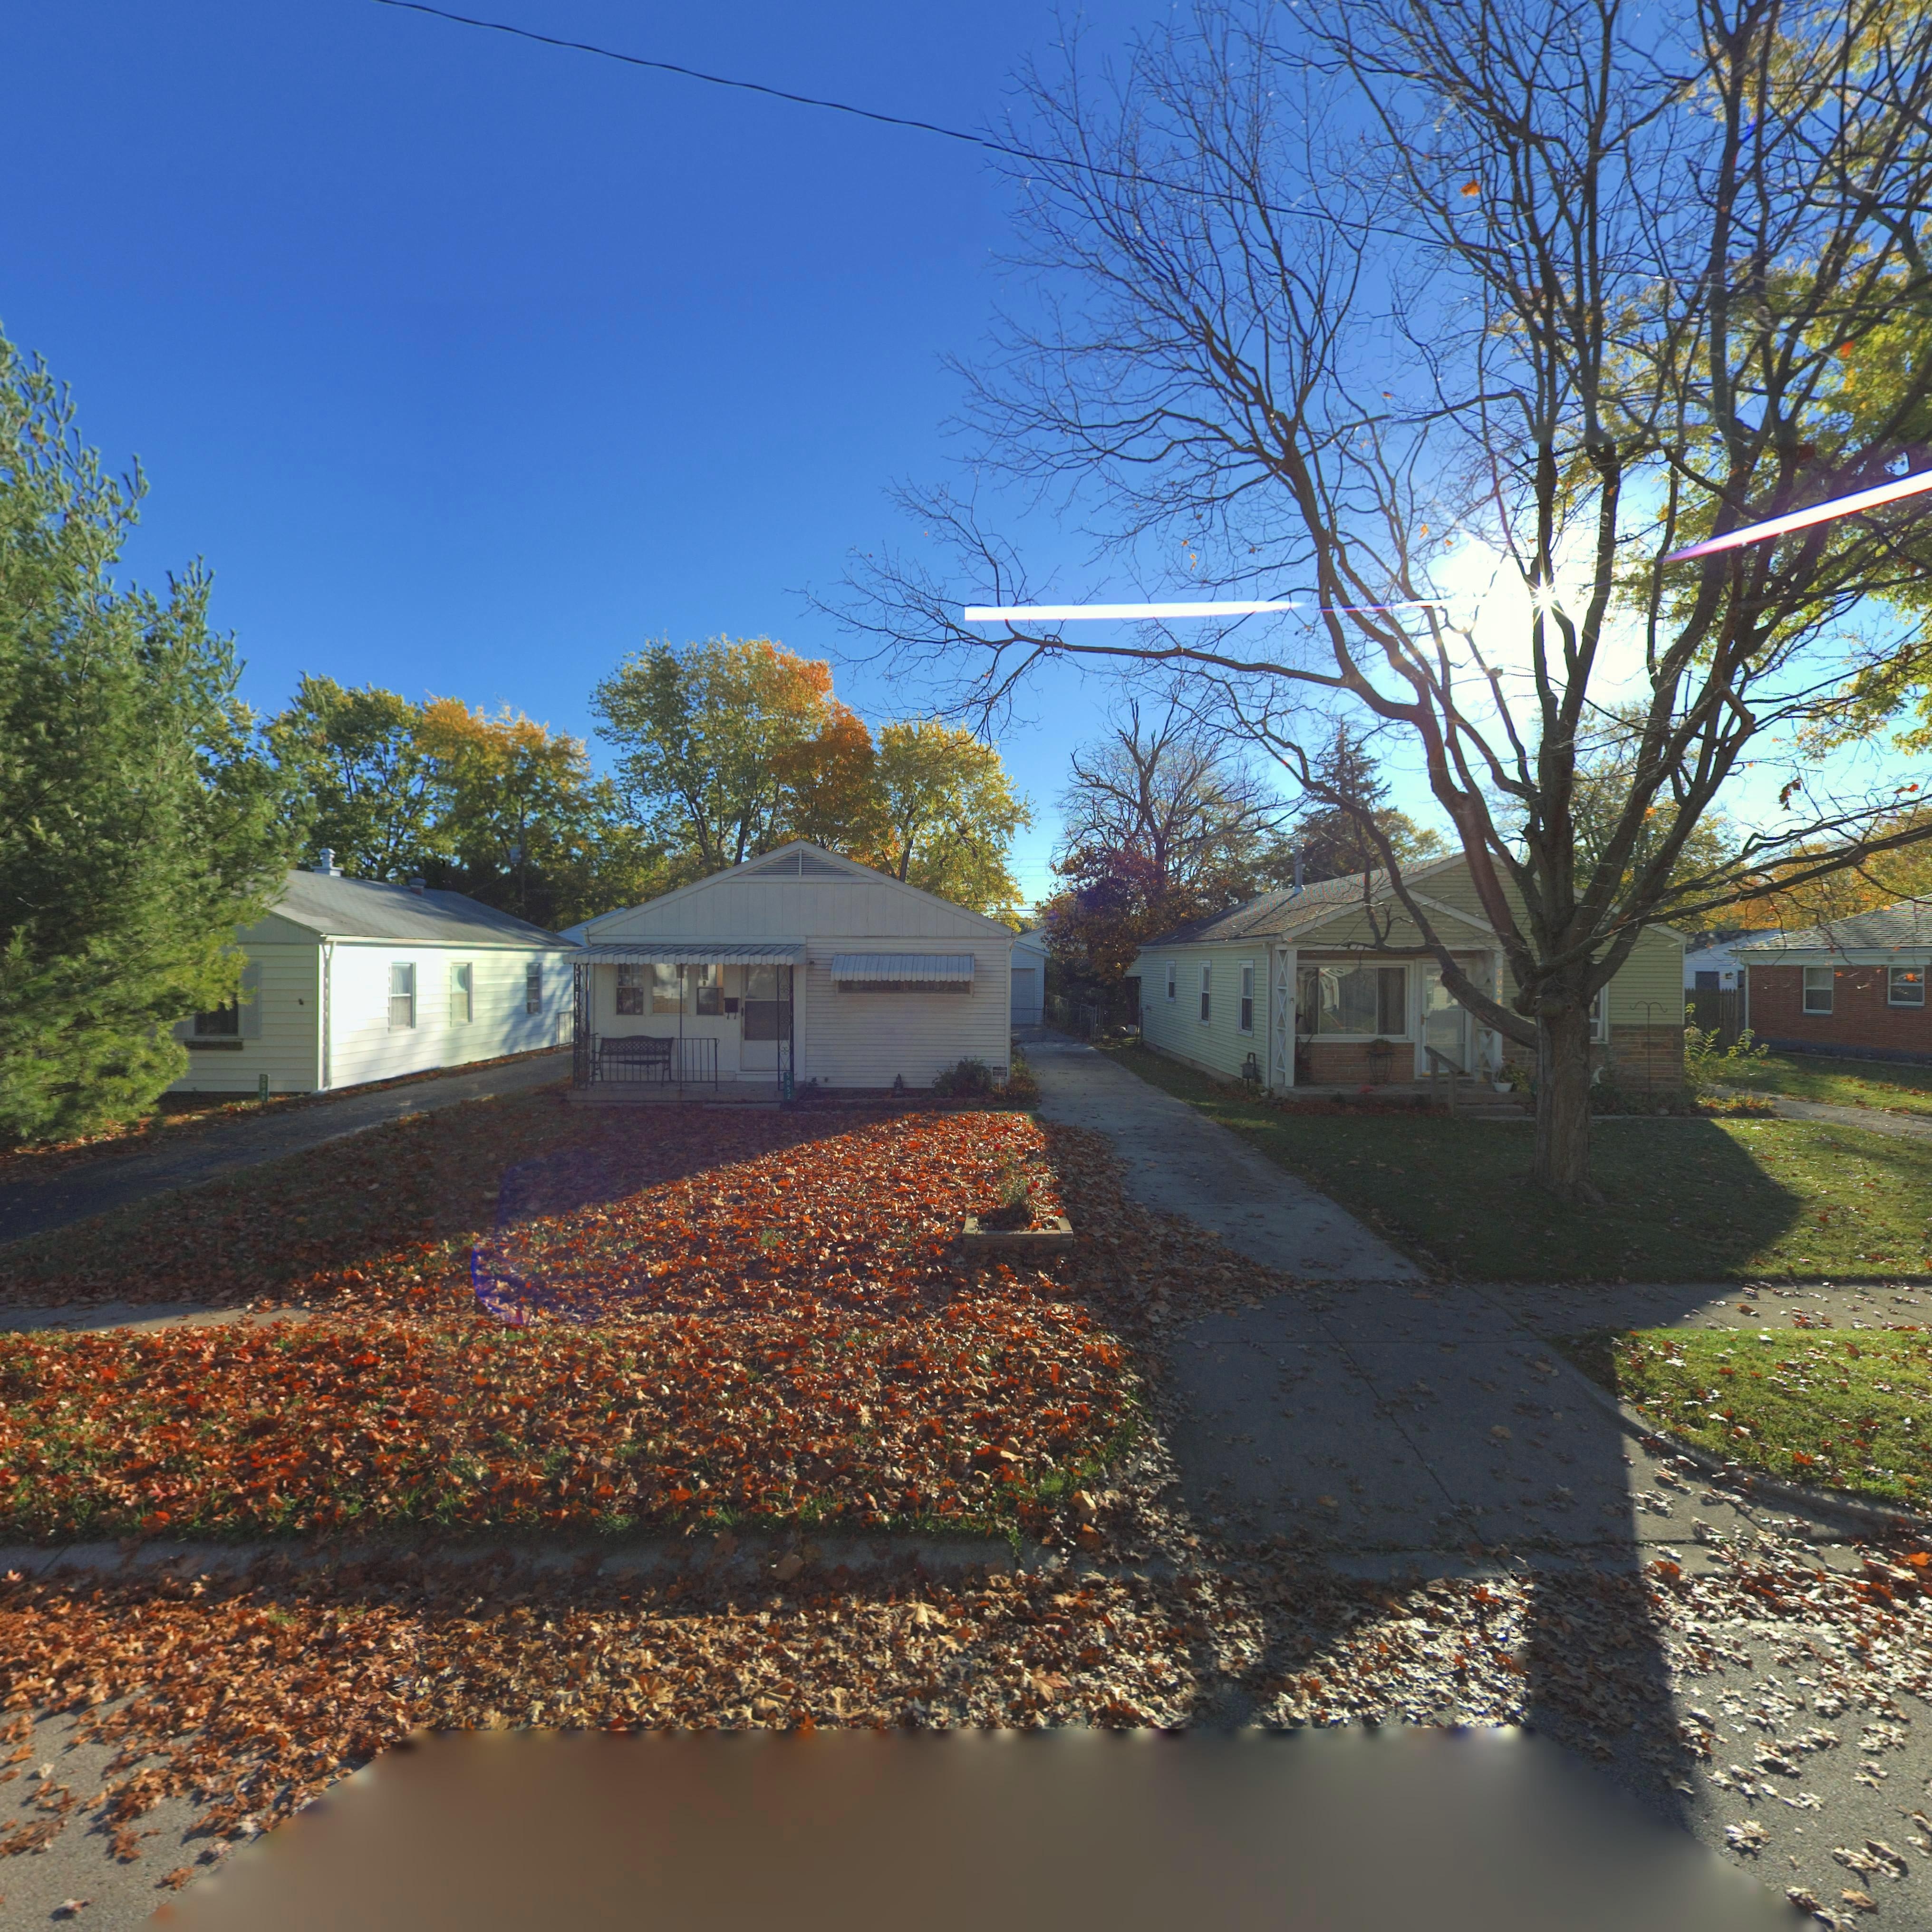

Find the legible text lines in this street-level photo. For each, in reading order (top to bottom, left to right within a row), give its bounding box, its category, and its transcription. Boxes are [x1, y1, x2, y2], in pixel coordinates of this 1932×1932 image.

[1496, 966, 1504, 1007] StreetNumber: 5054
[261, 1075, 267, 1102] StreetNumber: 5048
[786, 1072, 792, 1100] StreetNumber: 5052